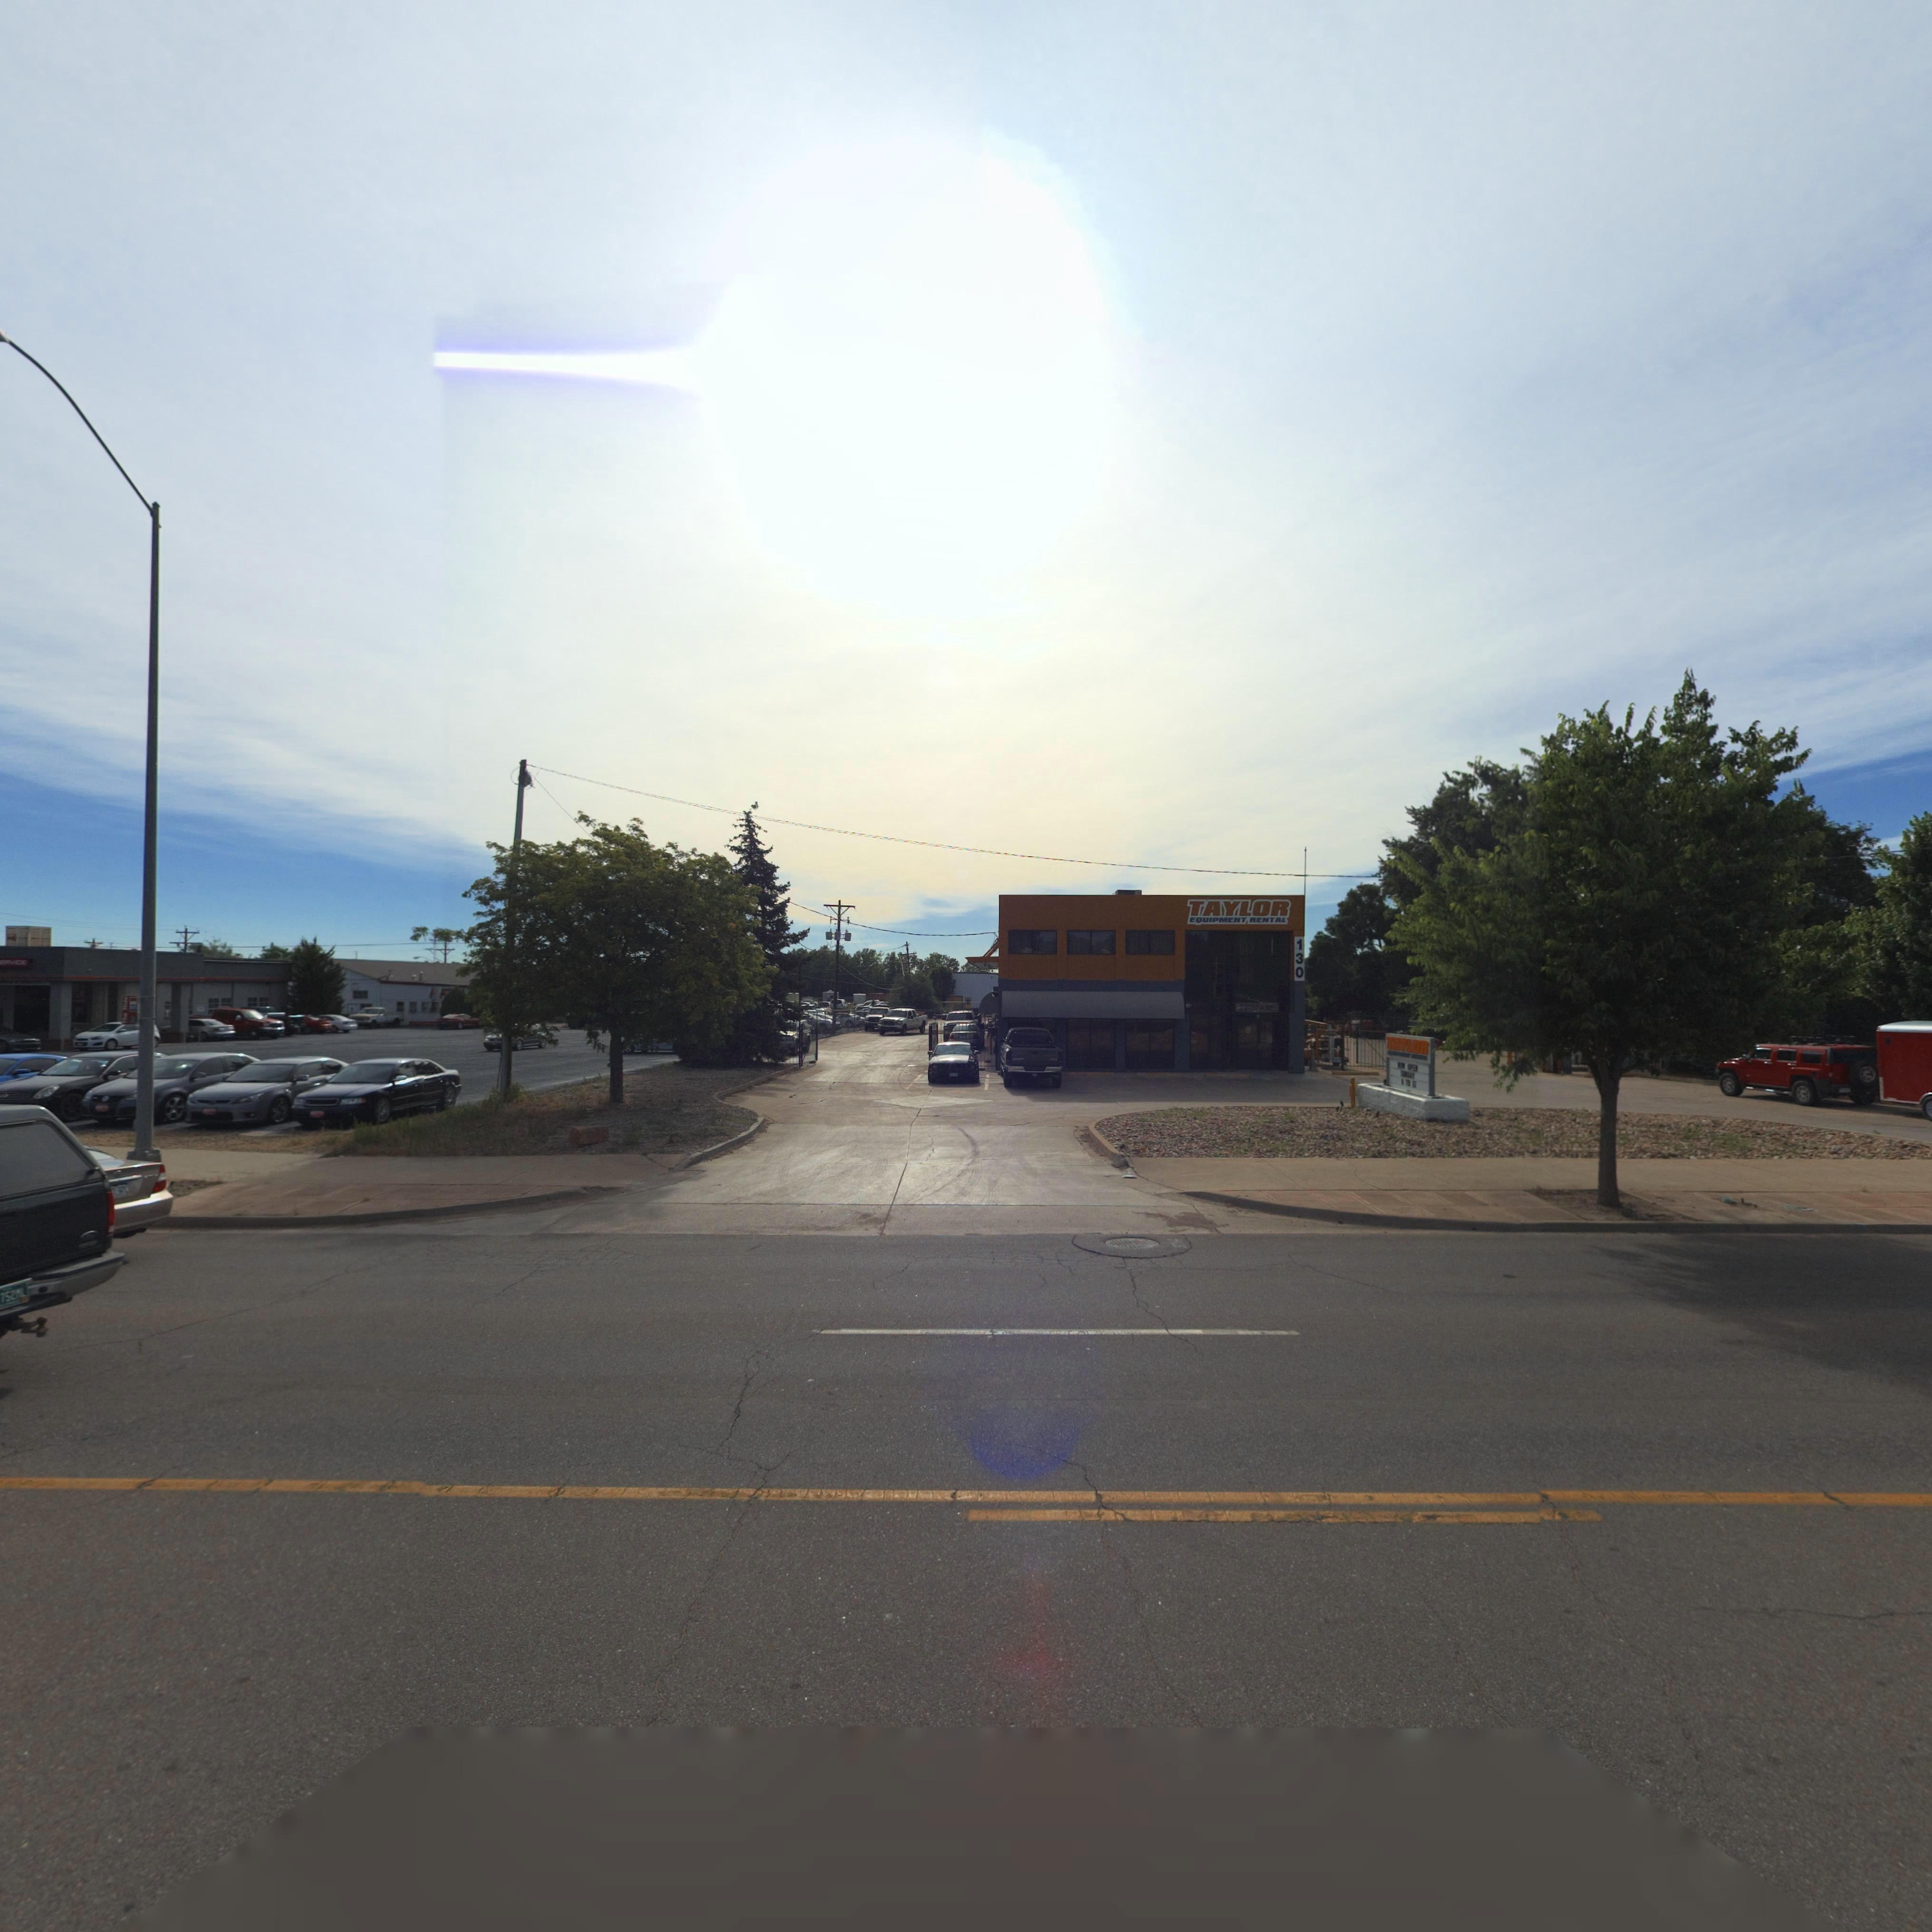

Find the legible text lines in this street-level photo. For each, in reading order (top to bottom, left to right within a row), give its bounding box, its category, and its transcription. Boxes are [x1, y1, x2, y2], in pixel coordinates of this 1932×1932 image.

[1189, 900, 1289, 916] BusinessName: TAYLOR
[1189, 917, 1286, 923] BusinessName: EQUIPMENT RENTAL
[1295, 938, 1304, 979] StreetNumber: 130
[1386, 1036, 1429, 1055] BusinessName: TAYLOR